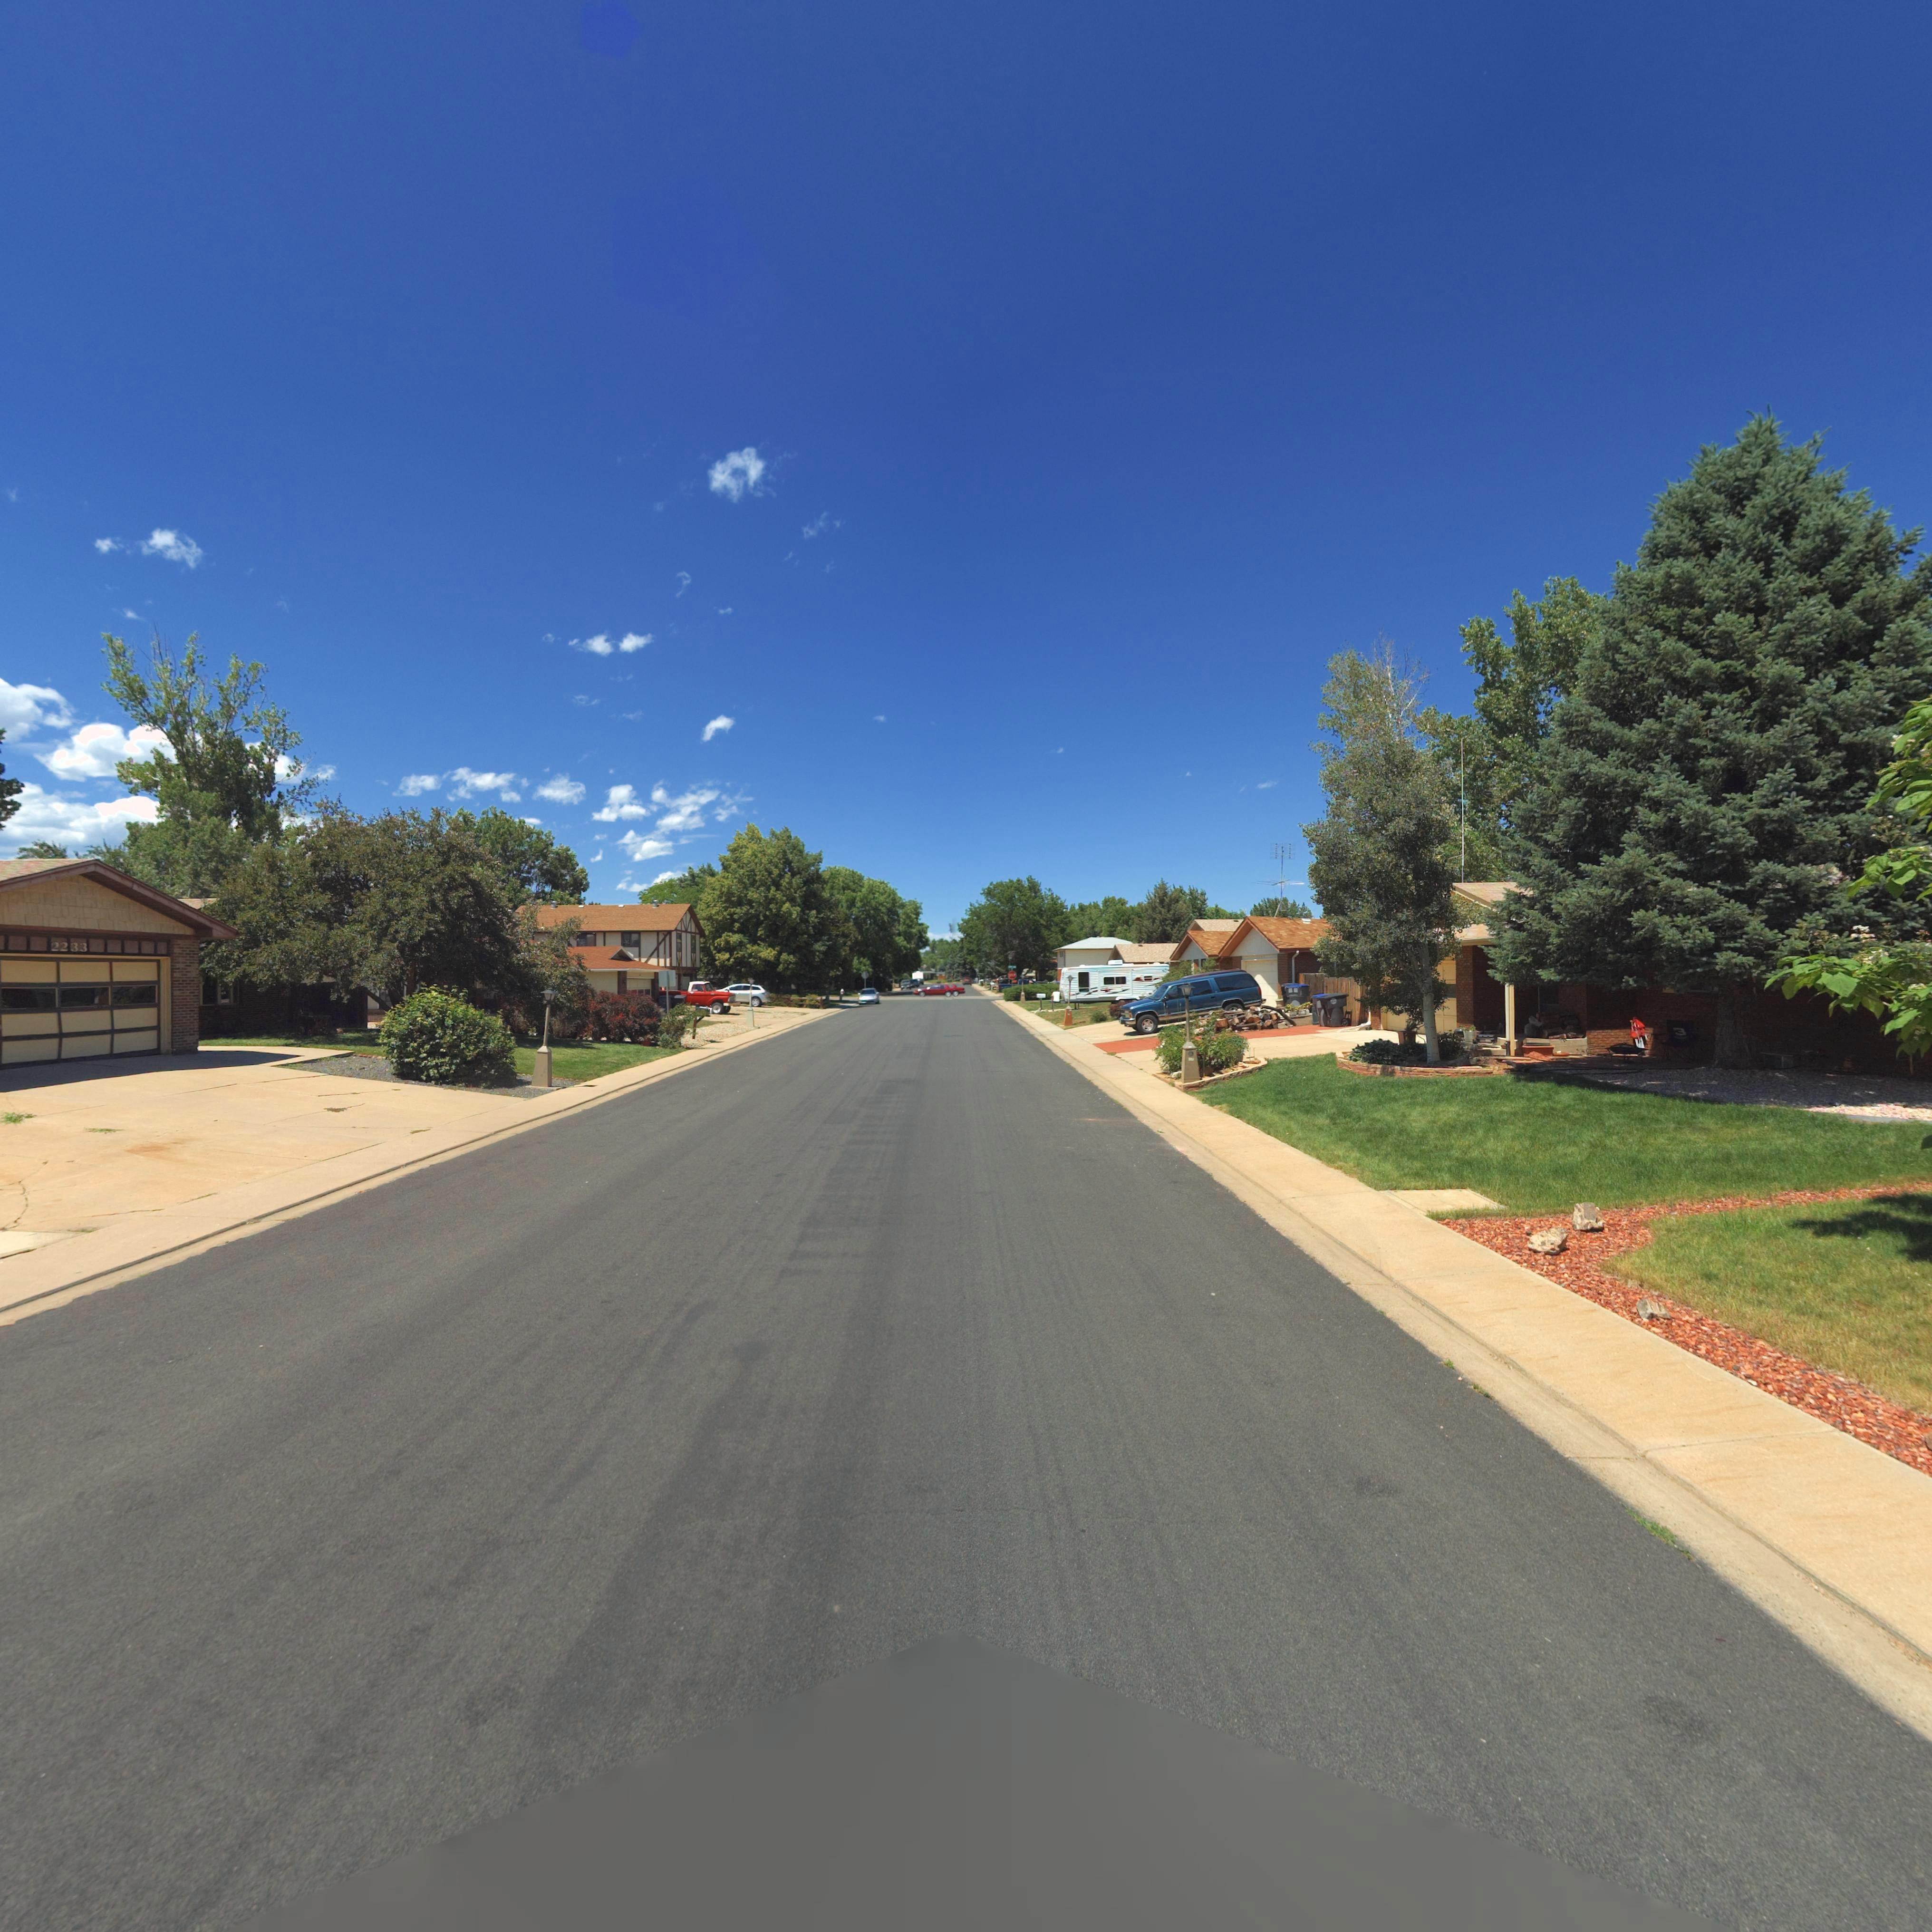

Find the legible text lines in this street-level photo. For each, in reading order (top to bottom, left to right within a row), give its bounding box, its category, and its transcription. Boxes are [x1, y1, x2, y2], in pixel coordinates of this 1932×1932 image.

[51, 941, 87, 952] StreetNumber: 2233